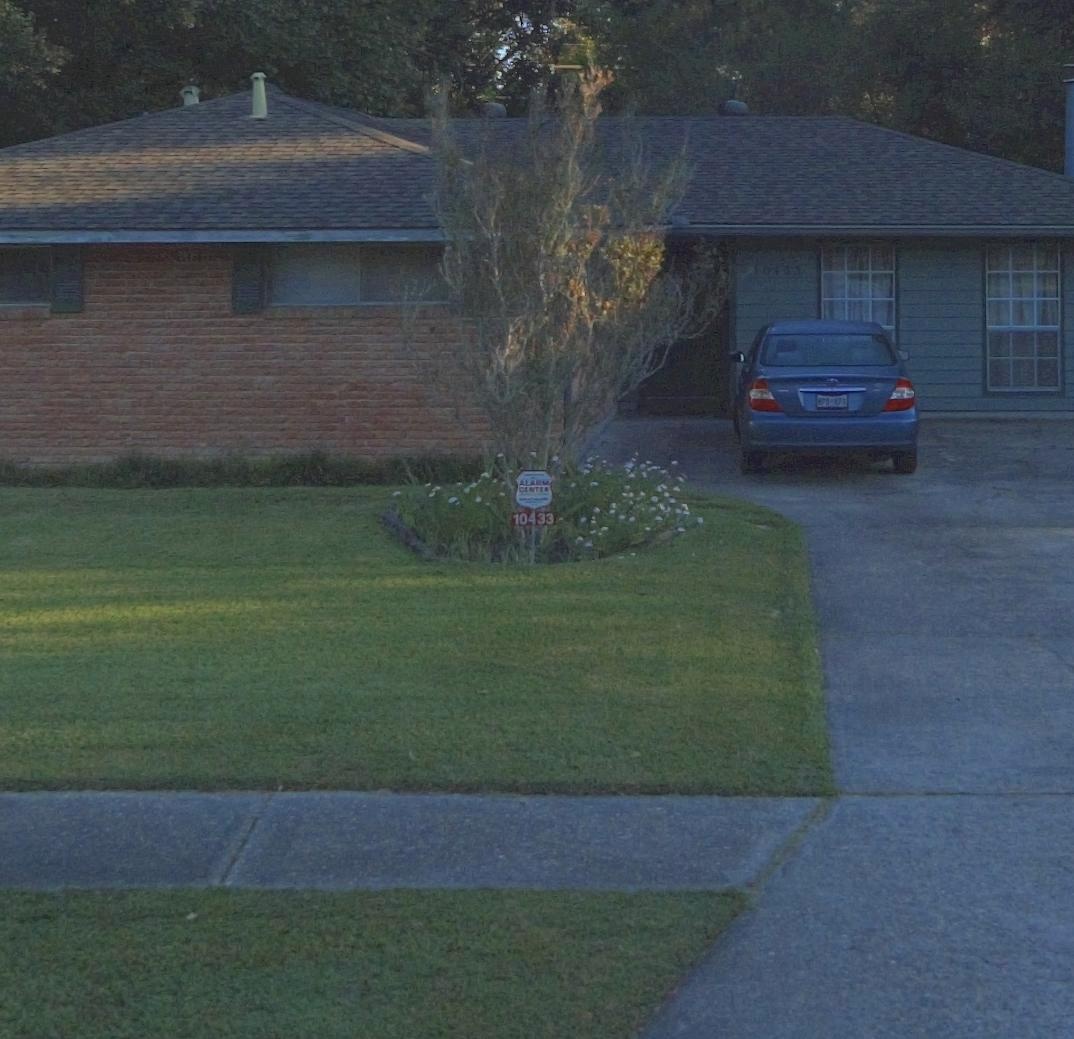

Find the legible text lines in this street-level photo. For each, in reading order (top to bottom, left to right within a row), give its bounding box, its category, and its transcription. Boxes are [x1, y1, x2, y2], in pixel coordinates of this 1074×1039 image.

[517, 478, 552, 487] None: ALARM
[517, 486, 552, 494] None: CENTER
[511, 511, 556, 526] StreetNumber: 10433